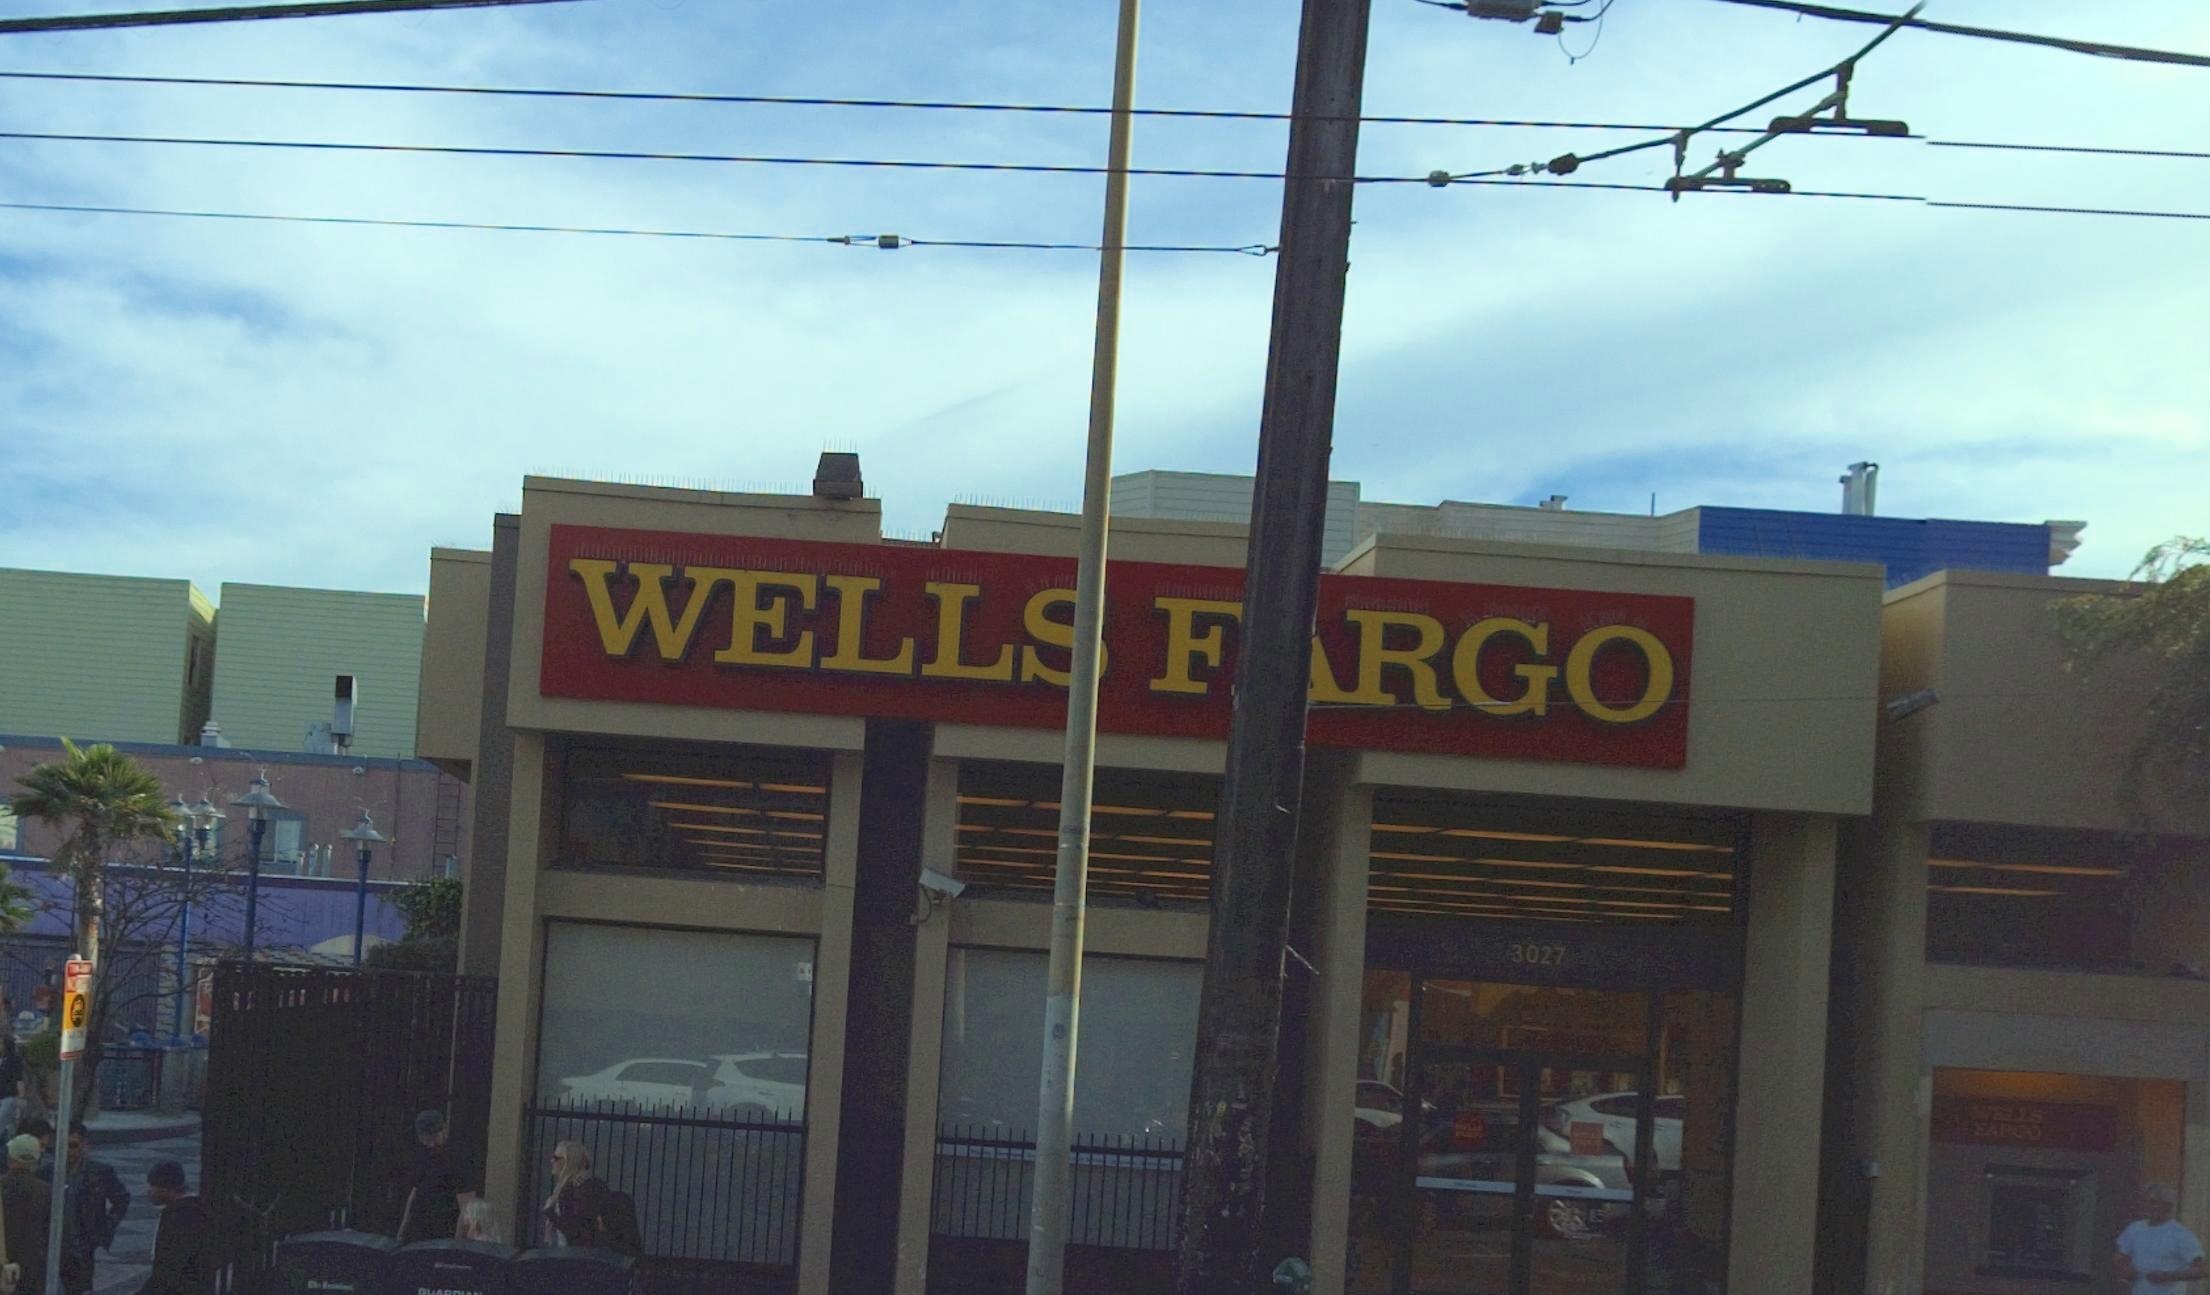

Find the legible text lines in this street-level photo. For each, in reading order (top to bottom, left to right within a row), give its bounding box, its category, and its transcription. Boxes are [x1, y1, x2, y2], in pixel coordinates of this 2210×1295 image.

[557, 548, 1685, 735] BusinessName: WELL* F*RGO
[1507, 940, 1570, 968] StreetNumber: 3027
[1969, 1100, 2047, 1127] BusinessName: WELLS
[1970, 1118, 2046, 1144] BusinessName: FARGO